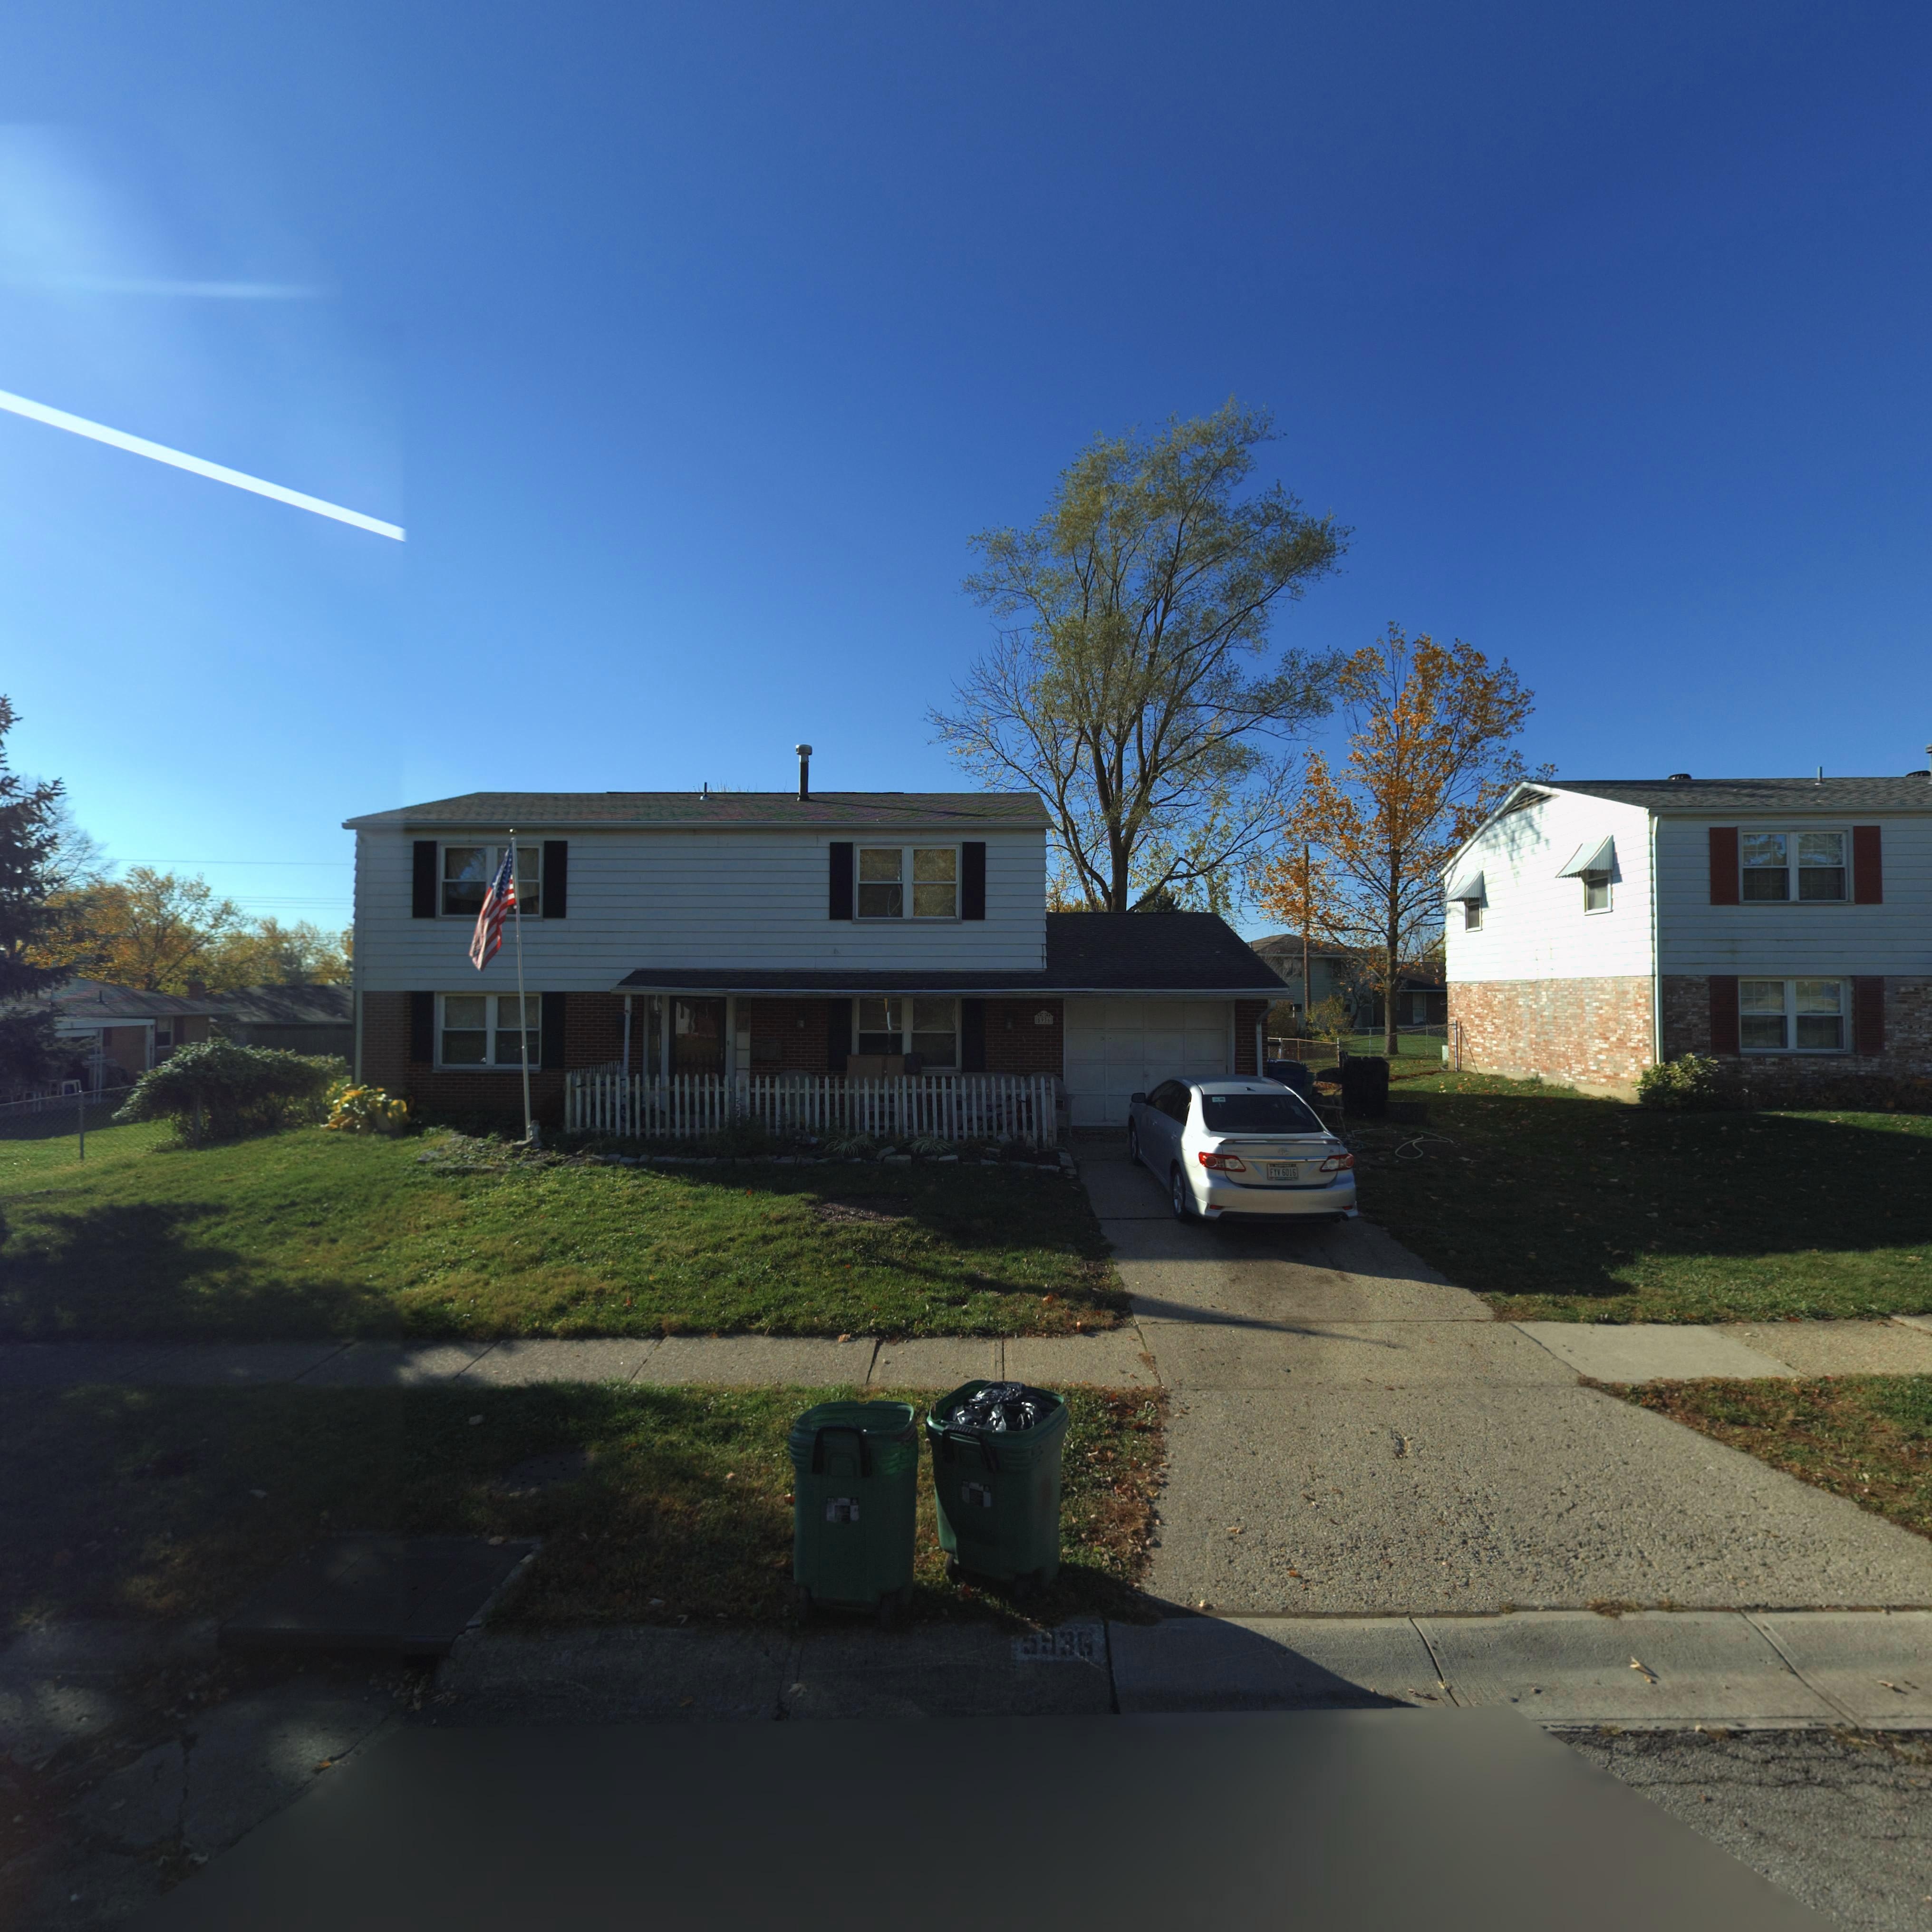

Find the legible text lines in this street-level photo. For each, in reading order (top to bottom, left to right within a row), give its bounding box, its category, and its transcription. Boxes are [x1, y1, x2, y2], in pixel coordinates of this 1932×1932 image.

[1036, 1017, 1051, 1024] StreetNumber: *9**
[1020, 1627, 1098, 1659] StreetNumber: *936